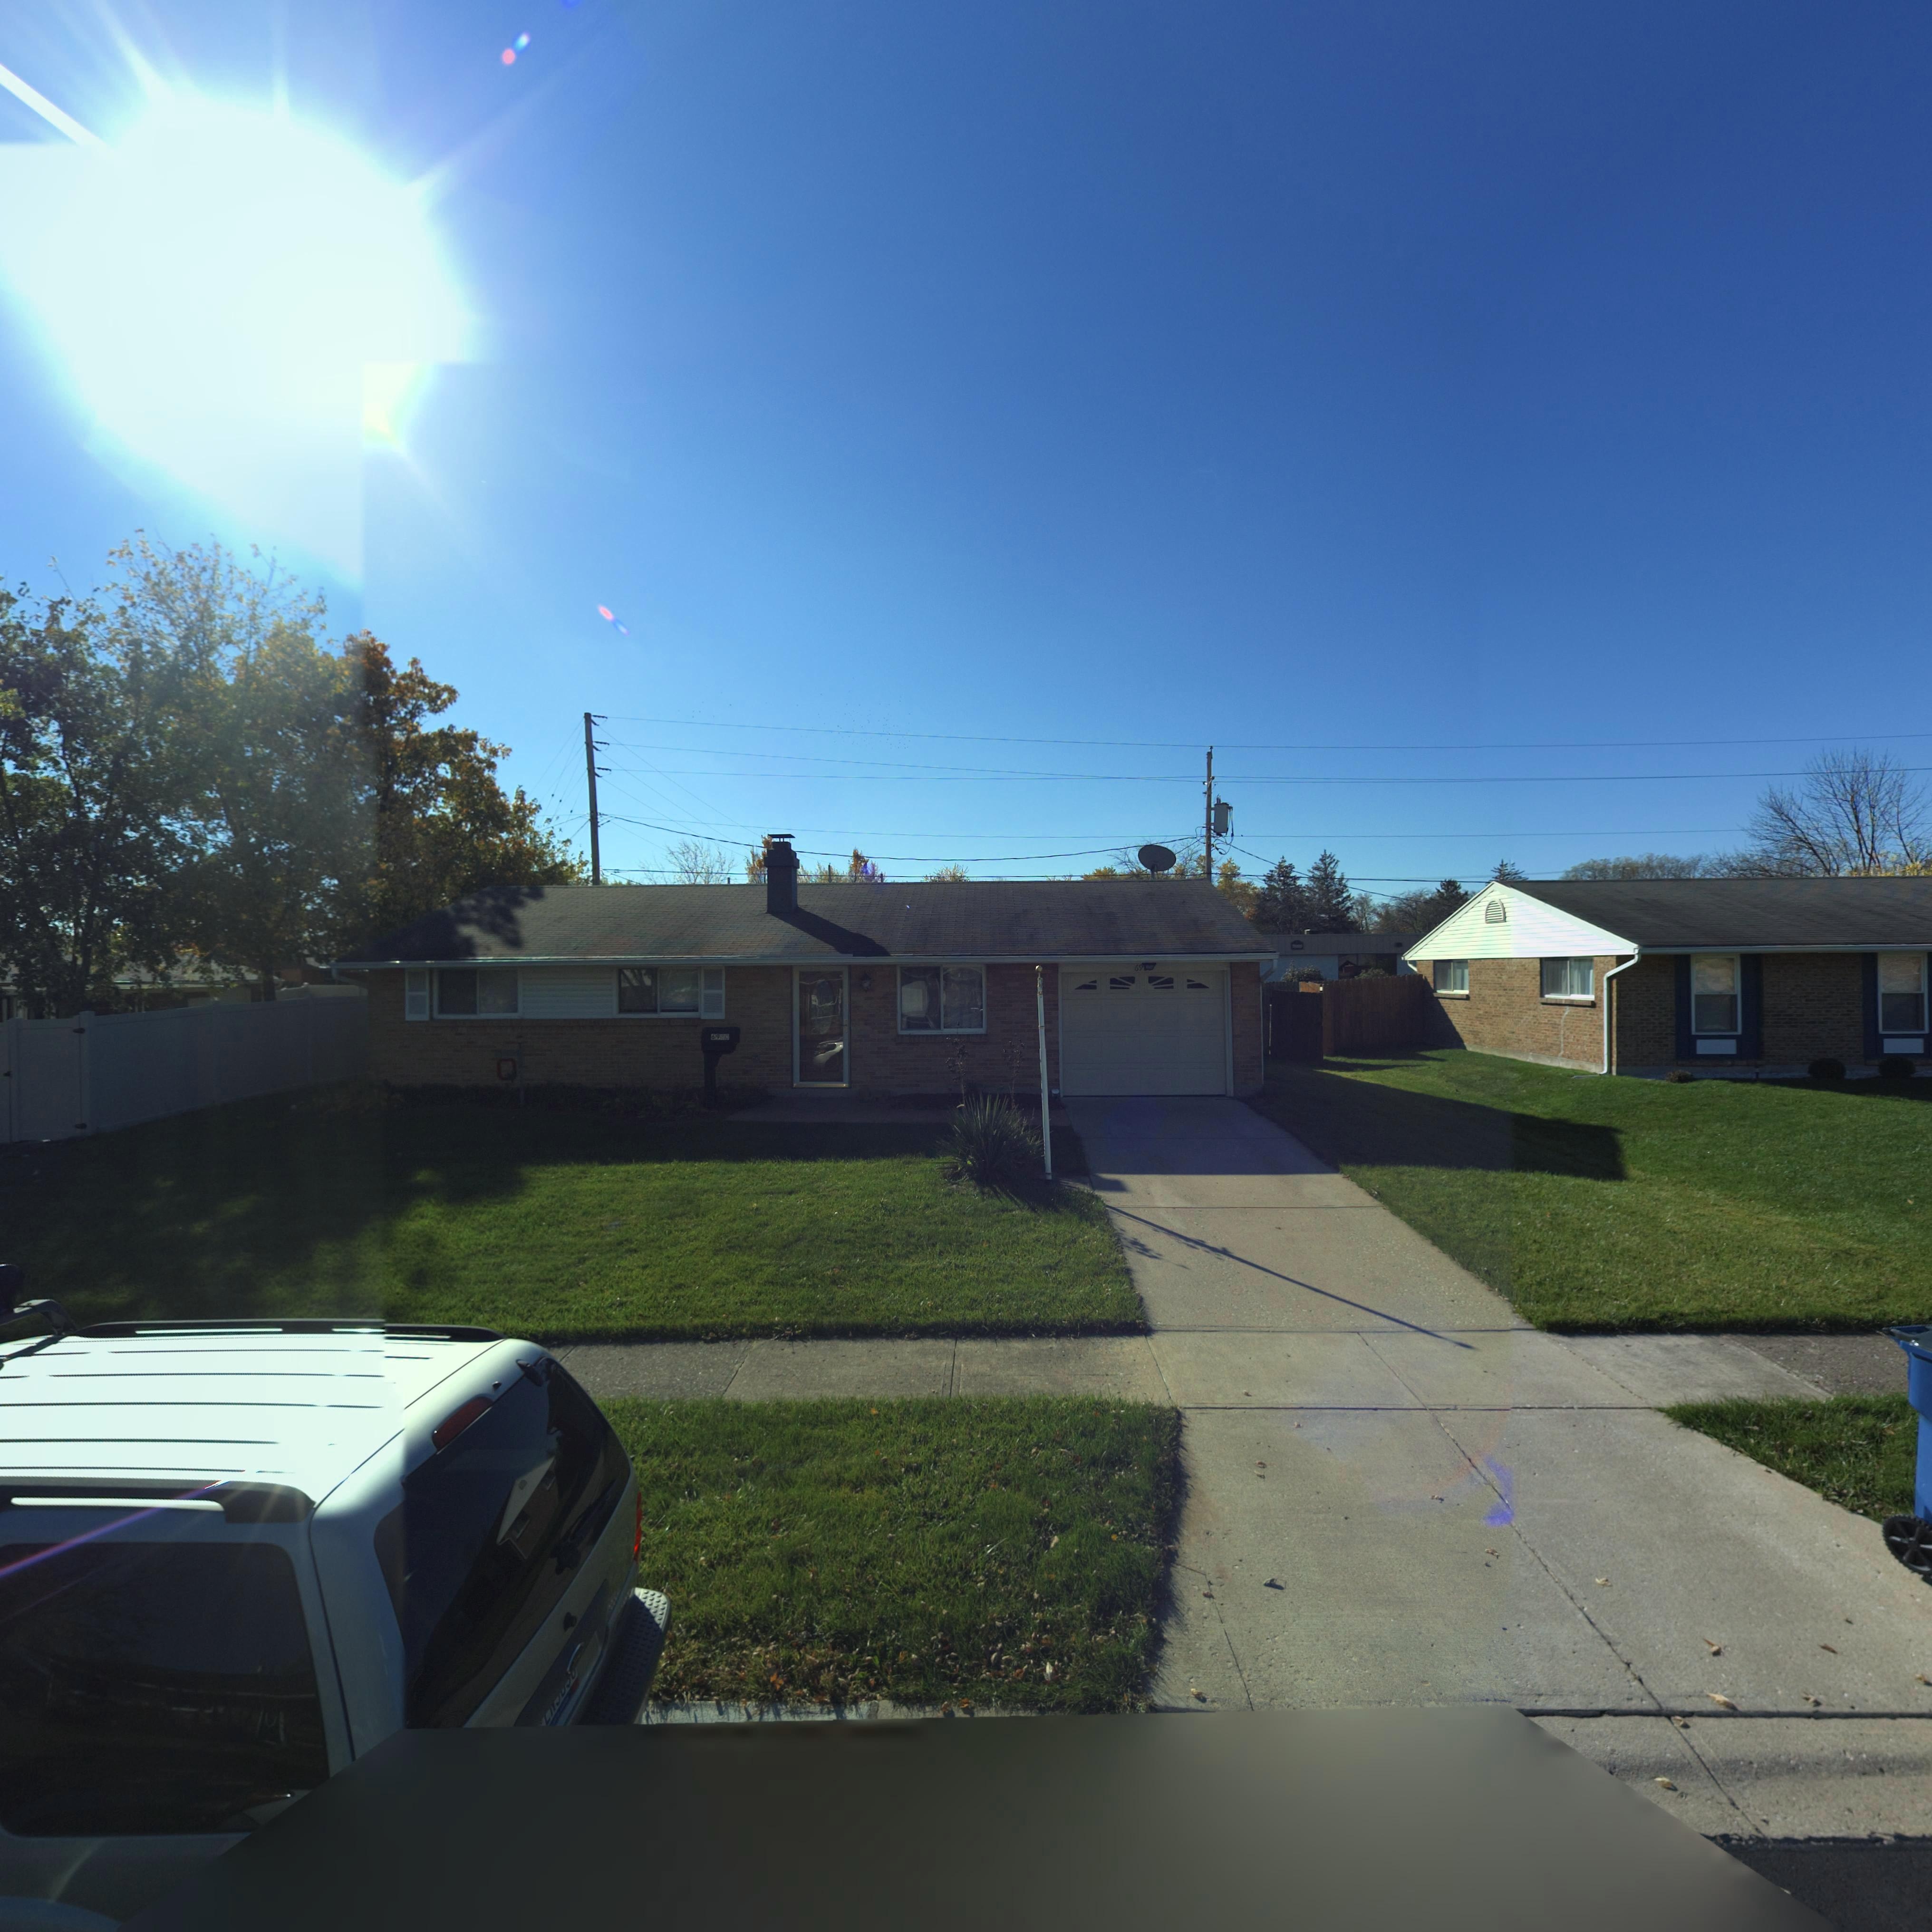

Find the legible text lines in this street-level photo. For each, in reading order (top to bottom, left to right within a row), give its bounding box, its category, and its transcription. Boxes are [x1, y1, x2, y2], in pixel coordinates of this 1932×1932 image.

[1134, 963, 1144, 972] StreetNumber: 69
[711, 1034, 729, 1040] StreetNumber: 6980